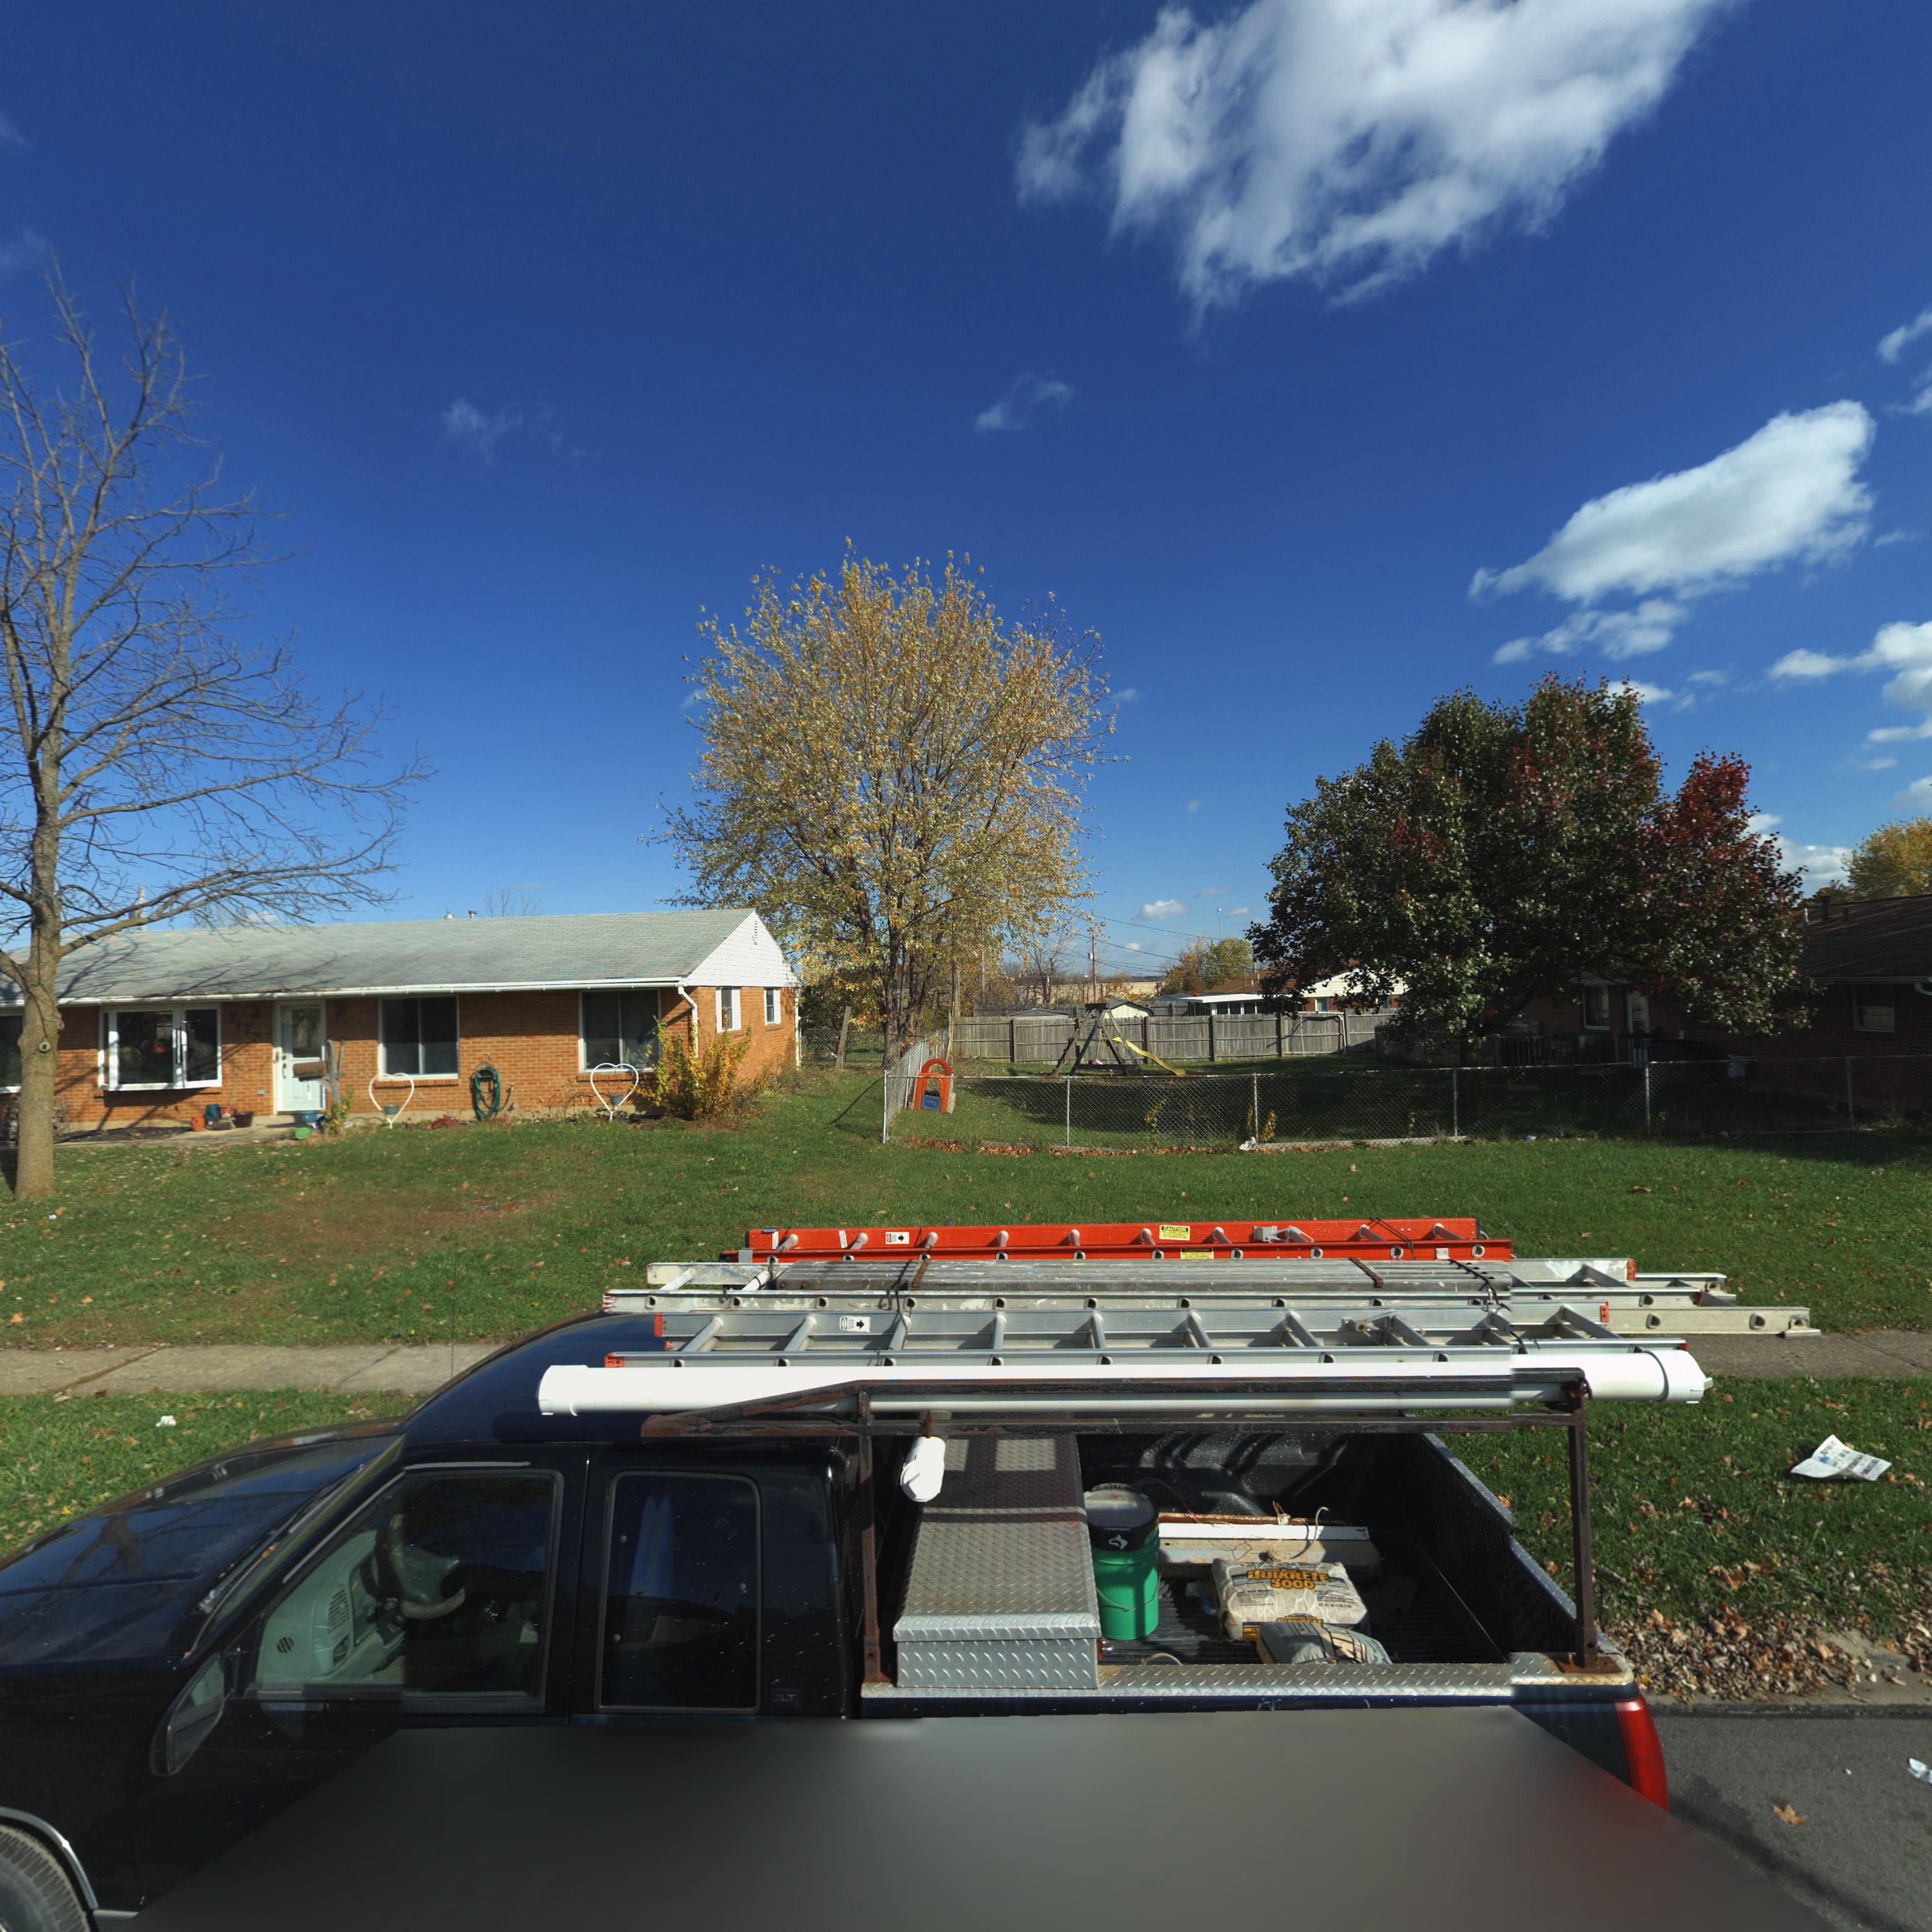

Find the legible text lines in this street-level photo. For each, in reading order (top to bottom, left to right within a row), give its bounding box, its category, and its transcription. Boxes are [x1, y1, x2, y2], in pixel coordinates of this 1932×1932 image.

[227, 1012, 265, 1045] StreetNumber: 7173